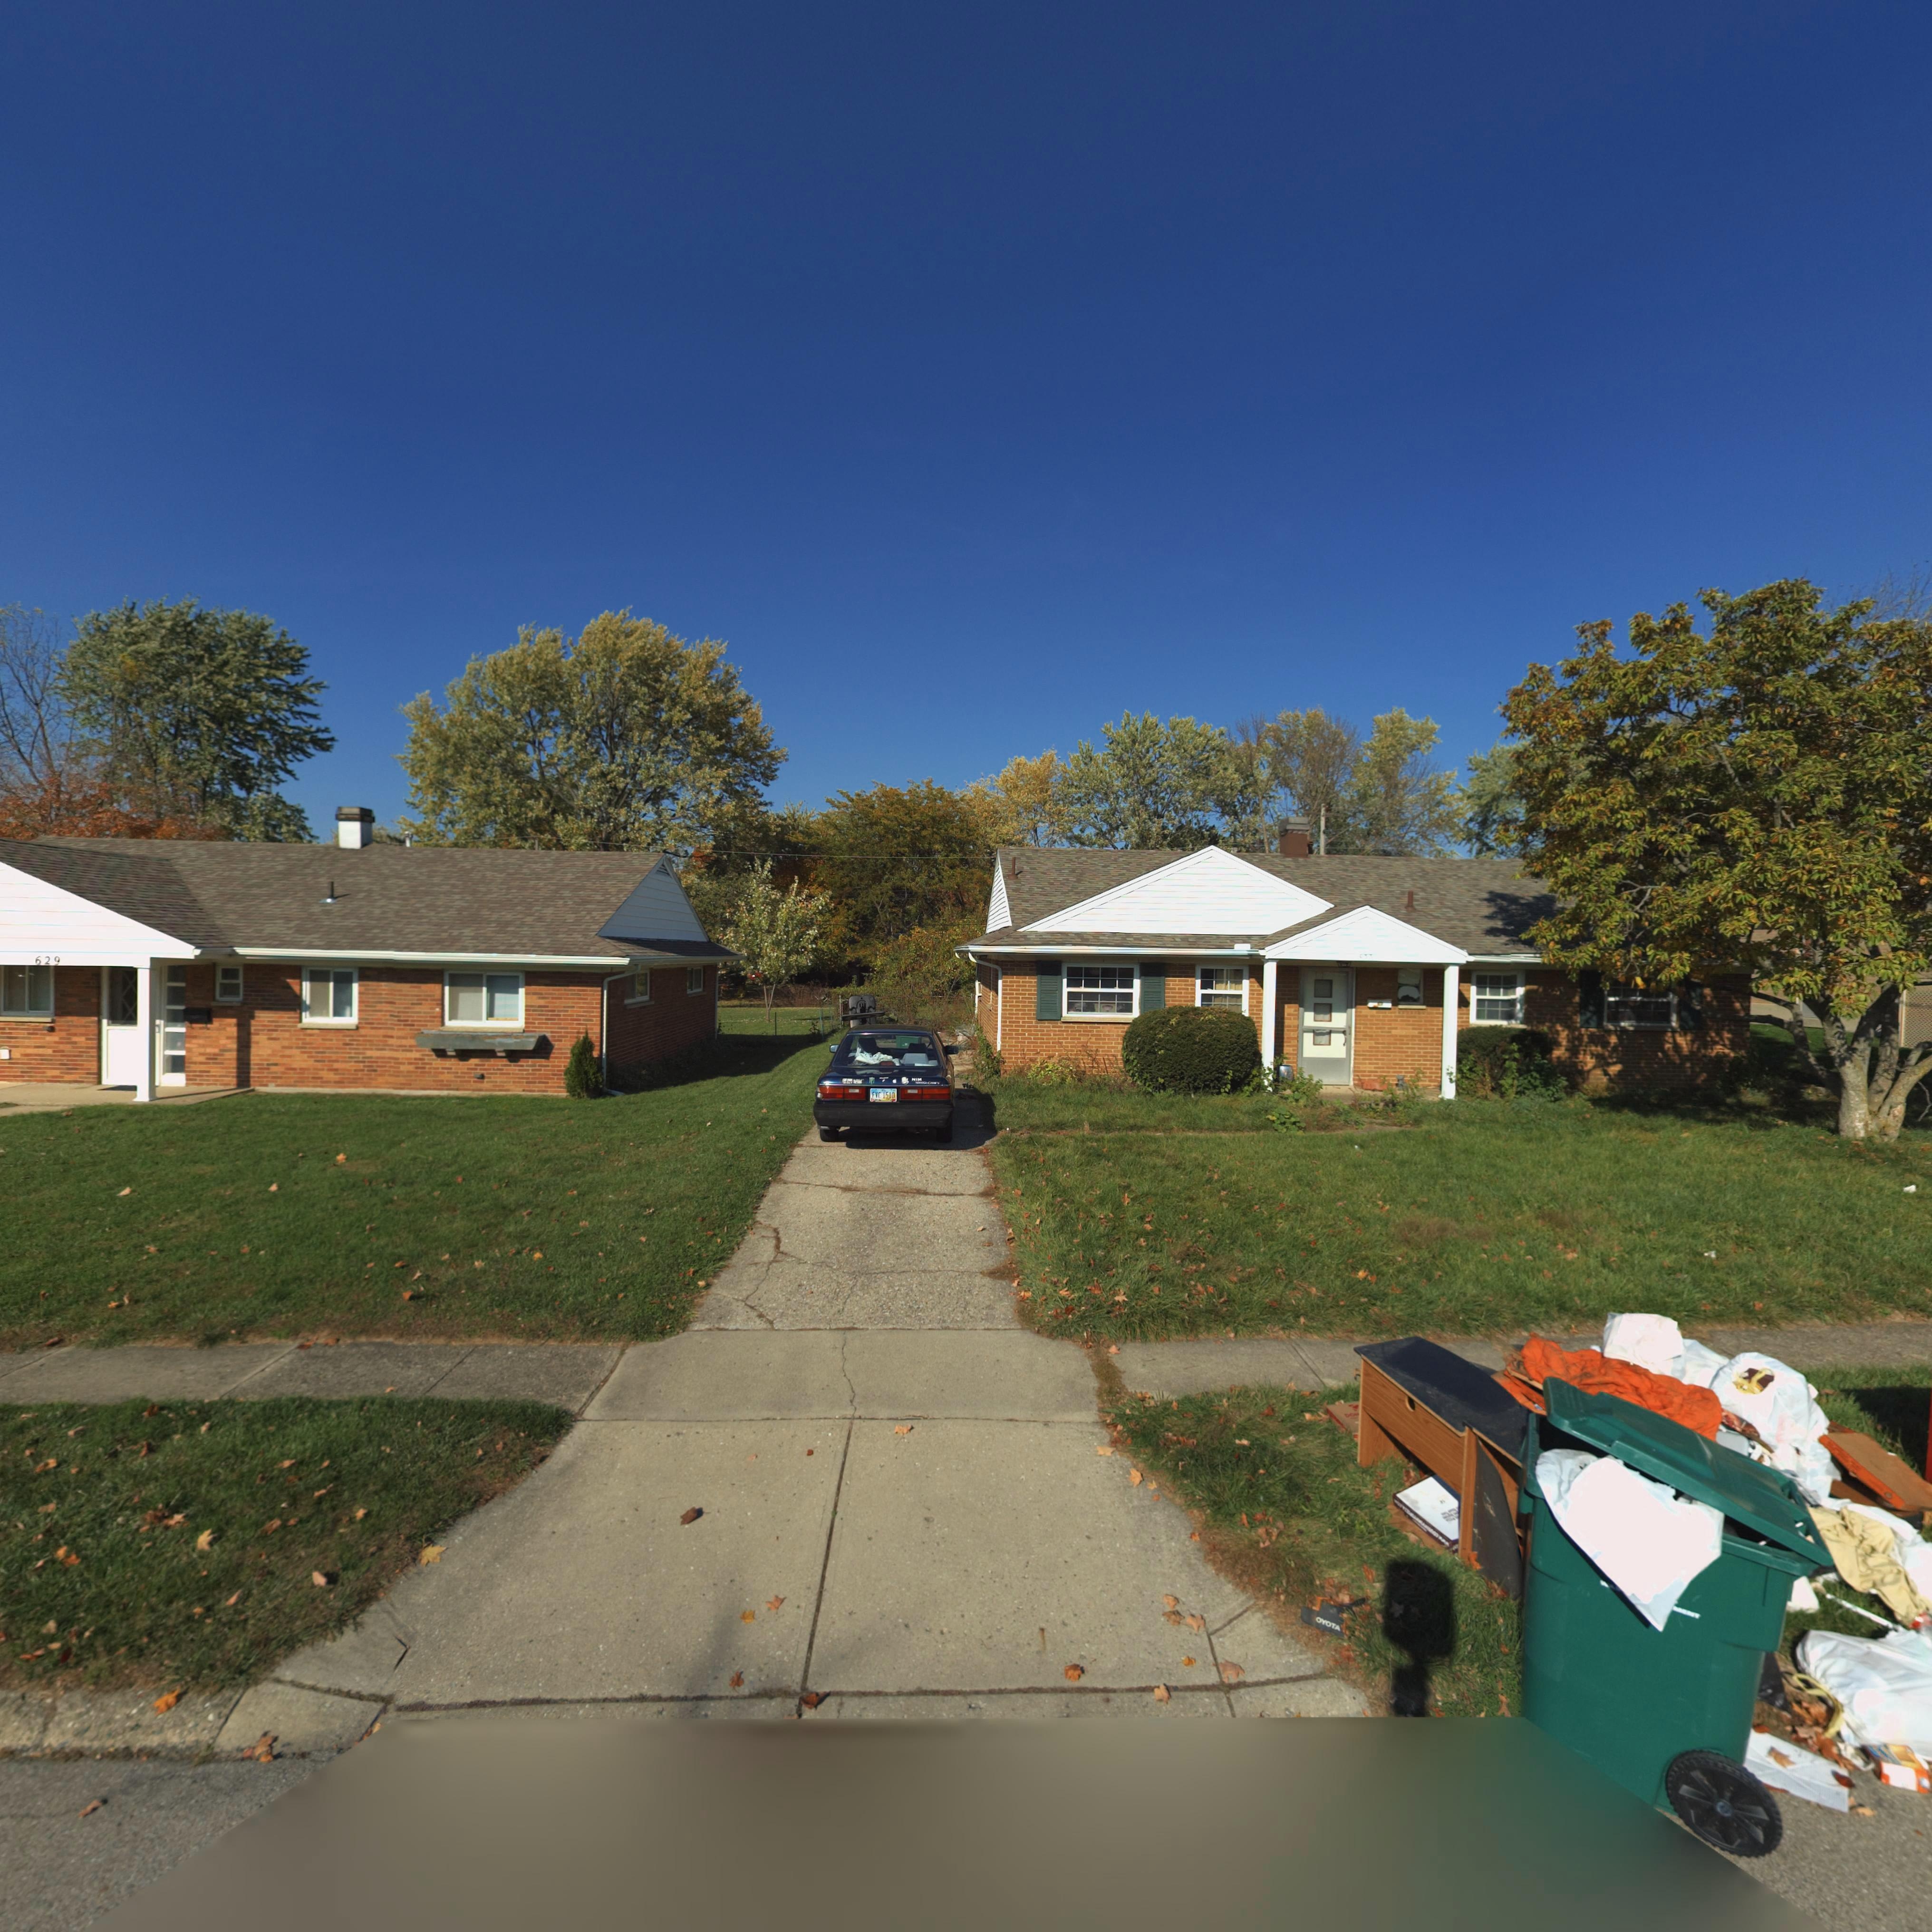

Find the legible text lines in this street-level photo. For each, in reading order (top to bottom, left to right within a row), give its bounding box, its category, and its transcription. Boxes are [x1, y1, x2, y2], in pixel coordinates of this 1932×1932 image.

[34, 955, 61, 966] StreetNumber: 629
[869, 1076, 875, 1085] None: m
[911, 1077, 922, 1082] None: NI*
[927, 1081, 931, 1085] None: C
[872, 1091, 895, 1099] None: FVC*1510
[1315, 1616, 1341, 1633] None: OYOTA